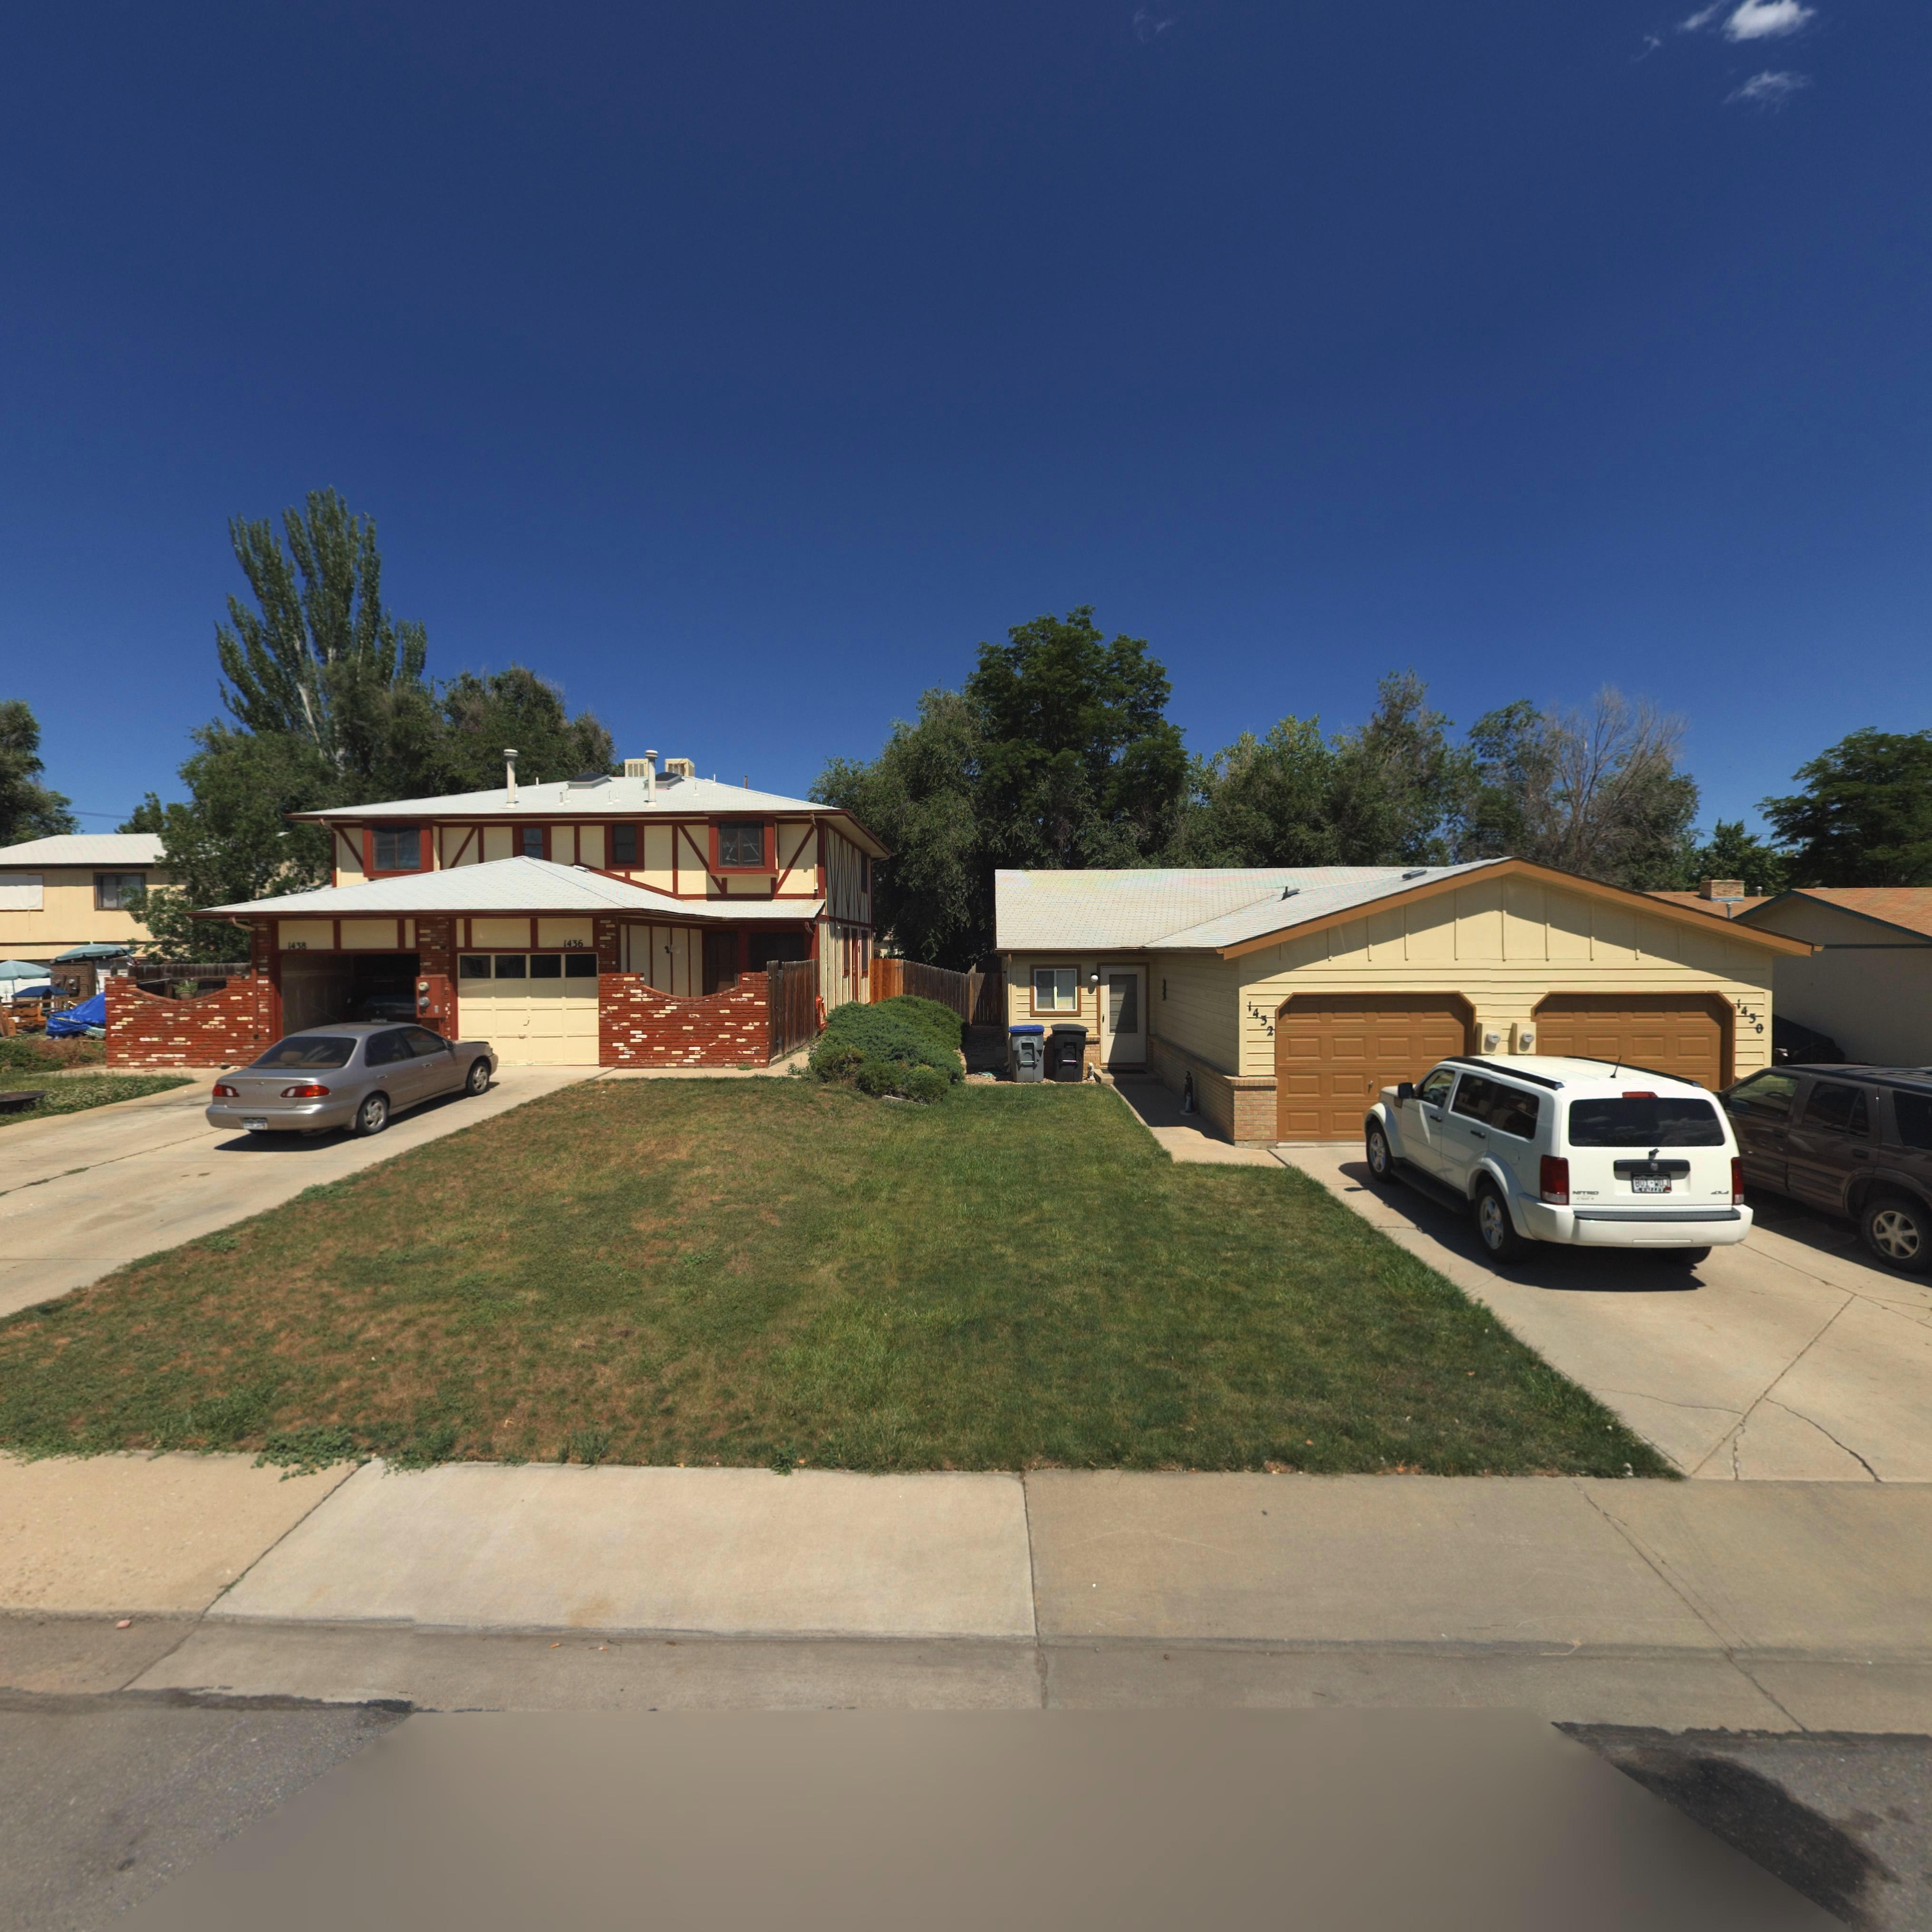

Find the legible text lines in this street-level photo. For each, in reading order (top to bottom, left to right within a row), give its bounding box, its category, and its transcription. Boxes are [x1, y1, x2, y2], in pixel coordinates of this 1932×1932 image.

[288, 941, 306, 950] StreetNumber: 1438
[563, 939, 583, 947] StreetNumber: 1436
[1248, 1000, 1273, 1036] StreetNumber: 1432
[1737, 998, 1764, 1035] StreetNumber: 1430